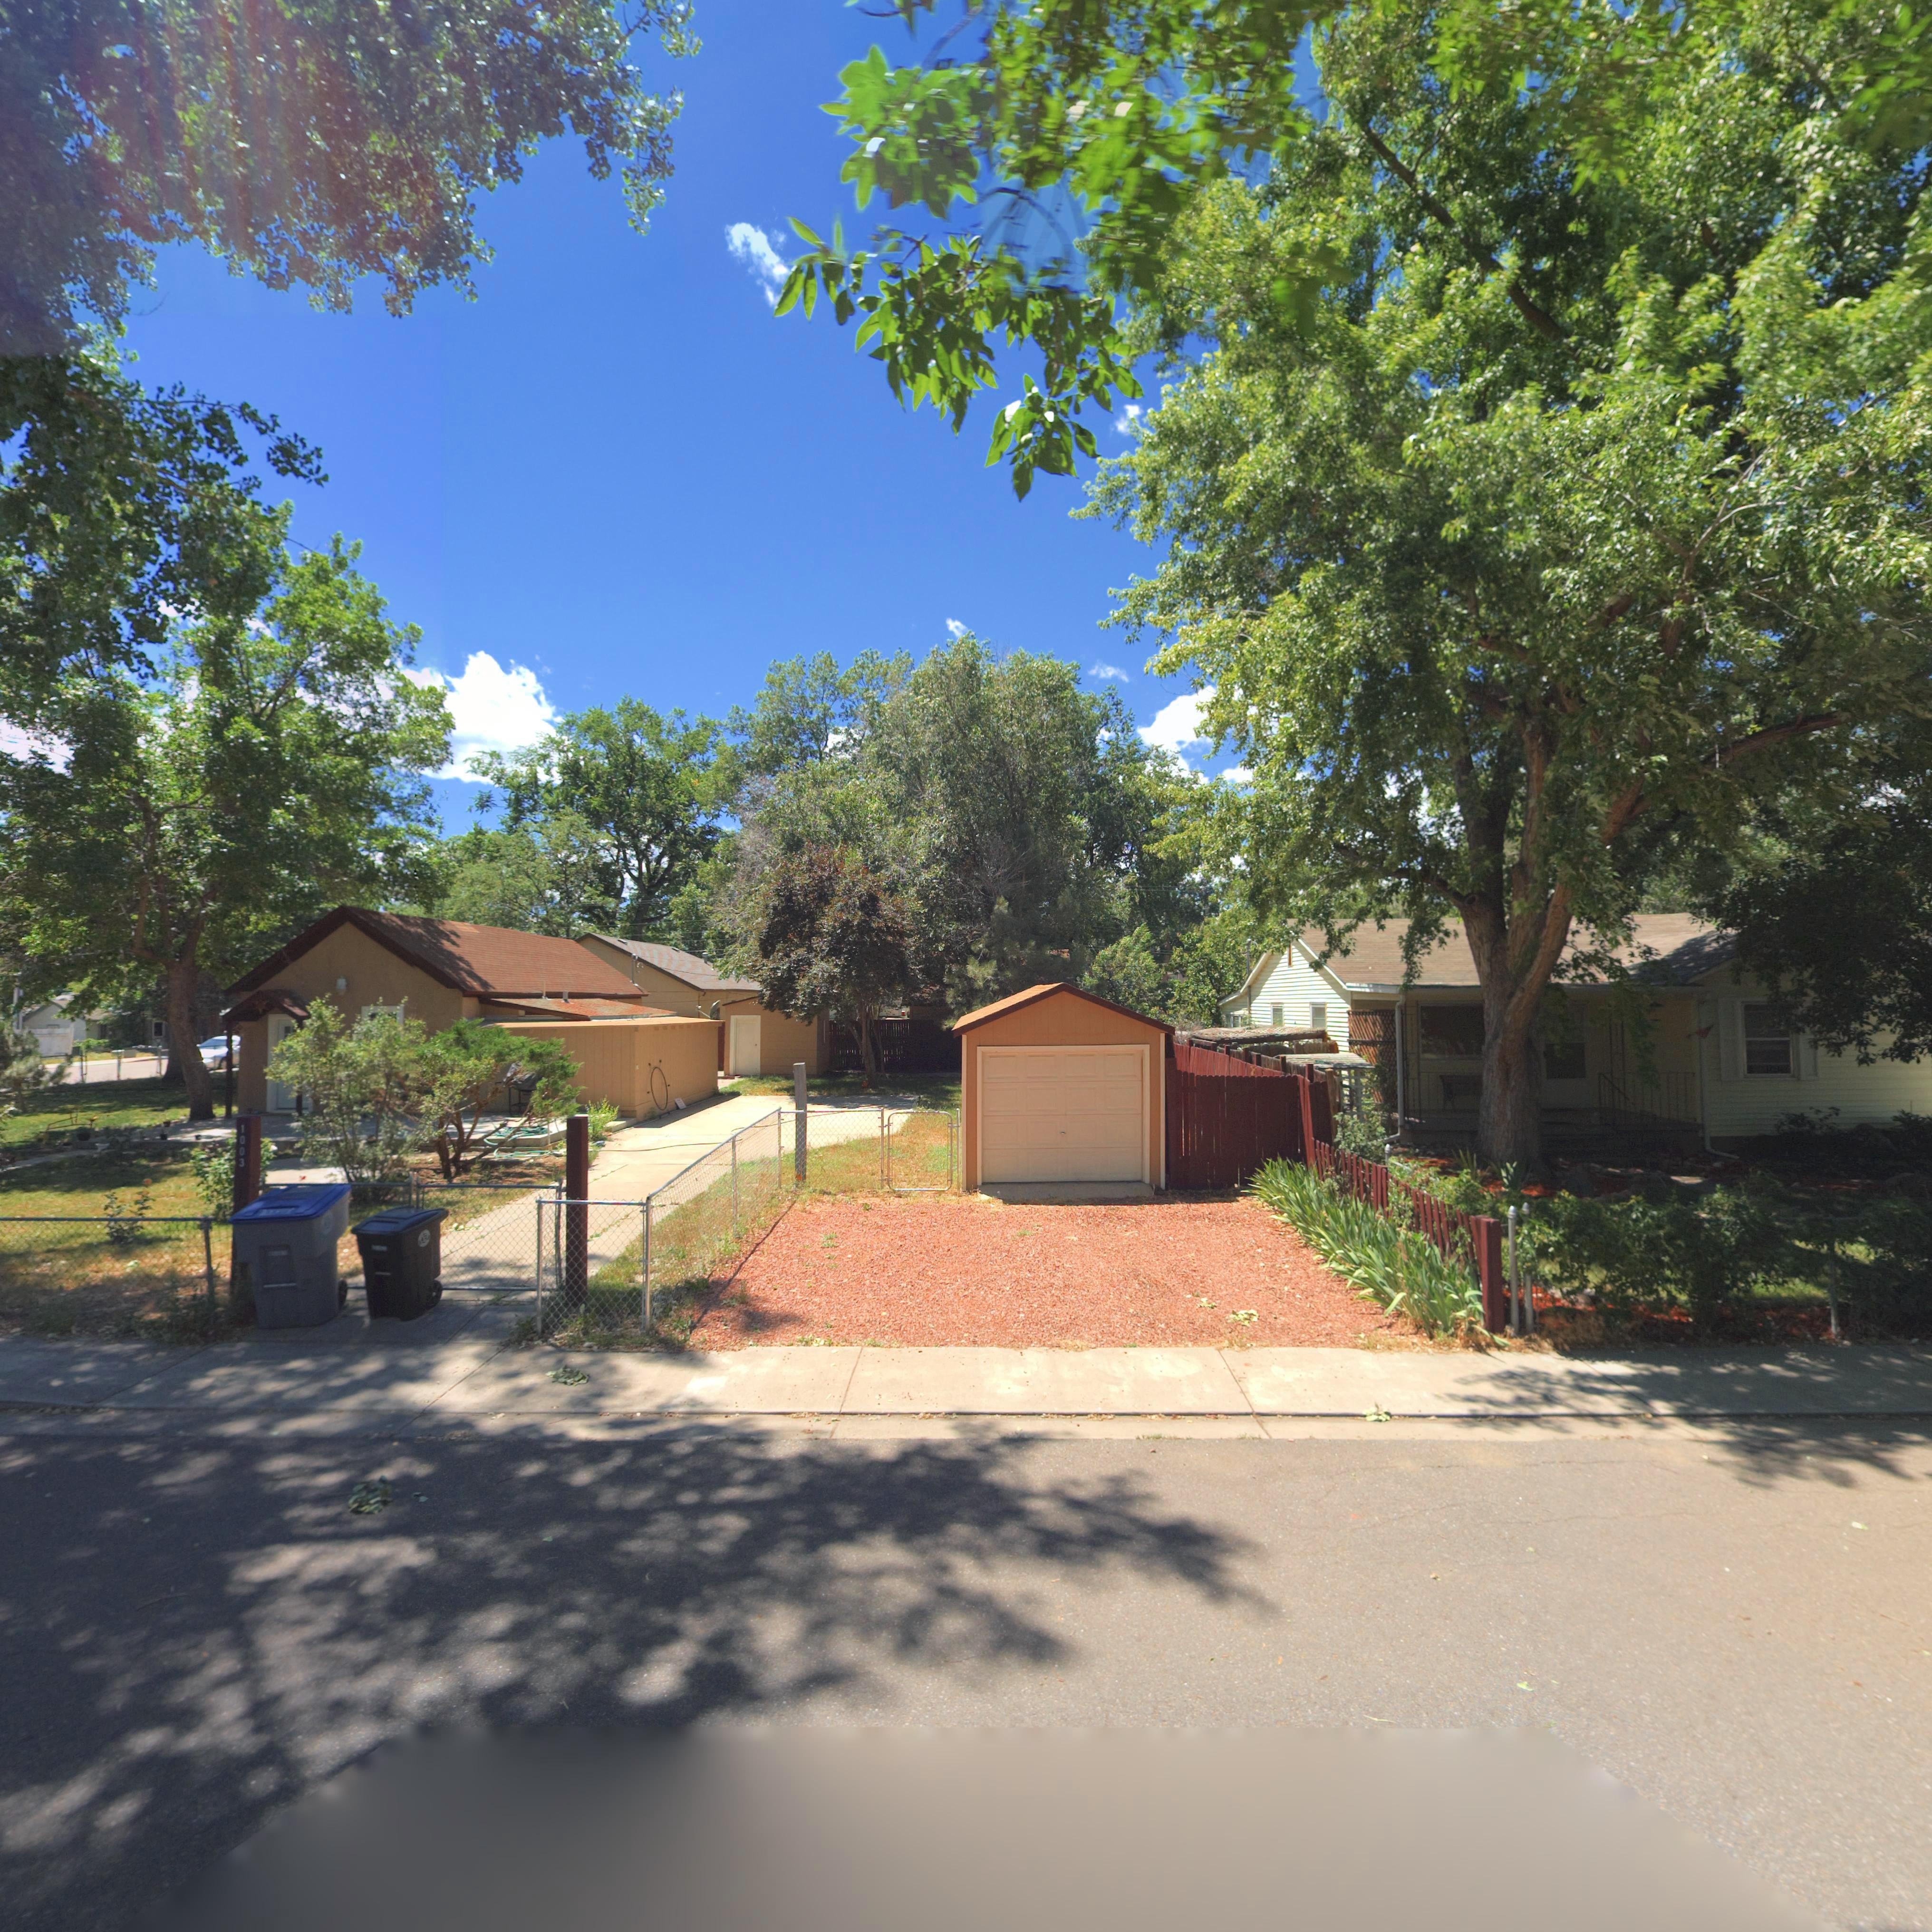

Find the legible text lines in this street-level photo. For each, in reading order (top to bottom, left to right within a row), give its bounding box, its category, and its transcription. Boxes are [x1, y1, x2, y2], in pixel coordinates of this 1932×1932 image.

[238, 1124, 245, 1168] StreetNumber: 1003